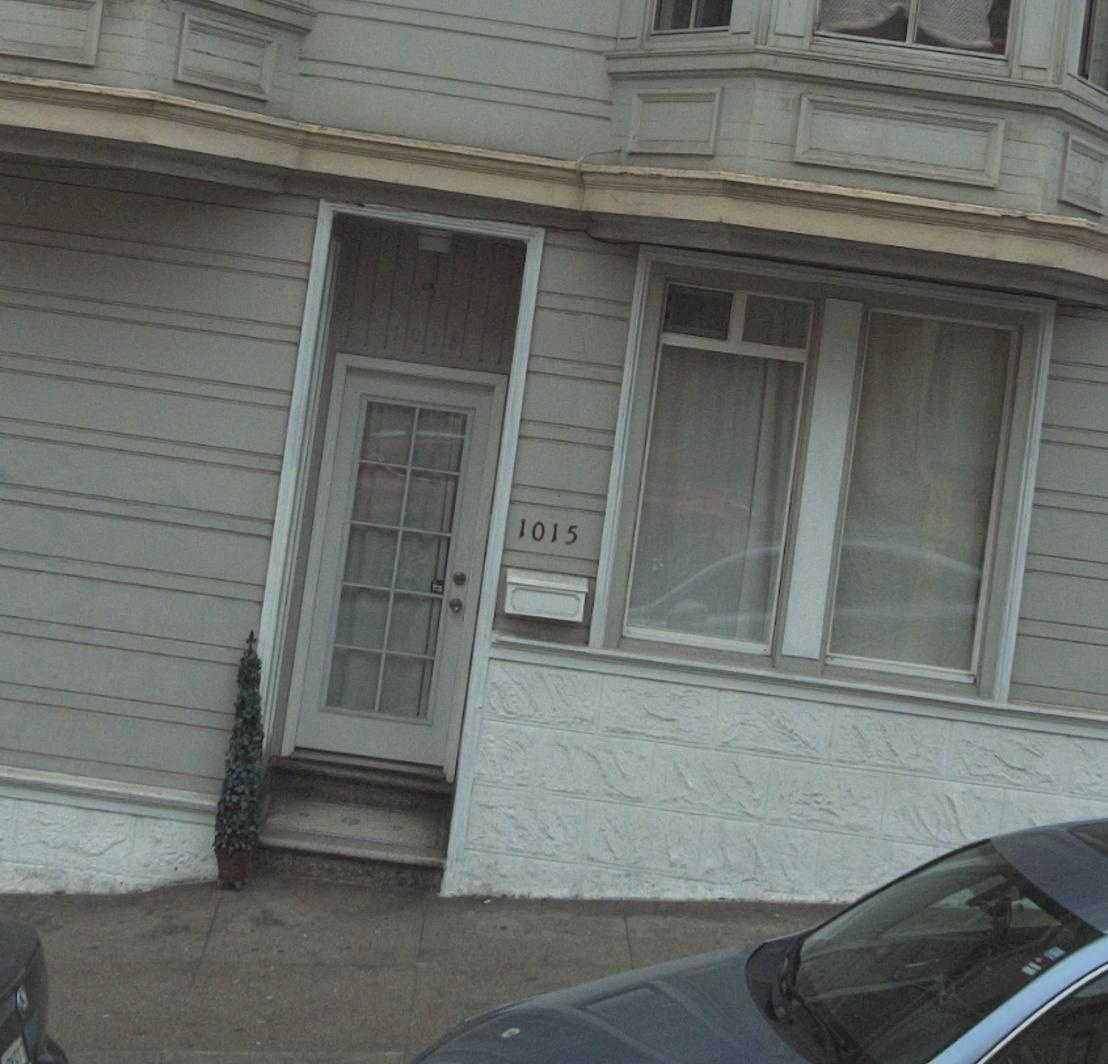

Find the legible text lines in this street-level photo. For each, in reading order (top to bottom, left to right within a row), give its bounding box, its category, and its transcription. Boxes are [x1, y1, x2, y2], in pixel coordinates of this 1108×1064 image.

[516, 514, 583, 550] StreetNumber: 1015